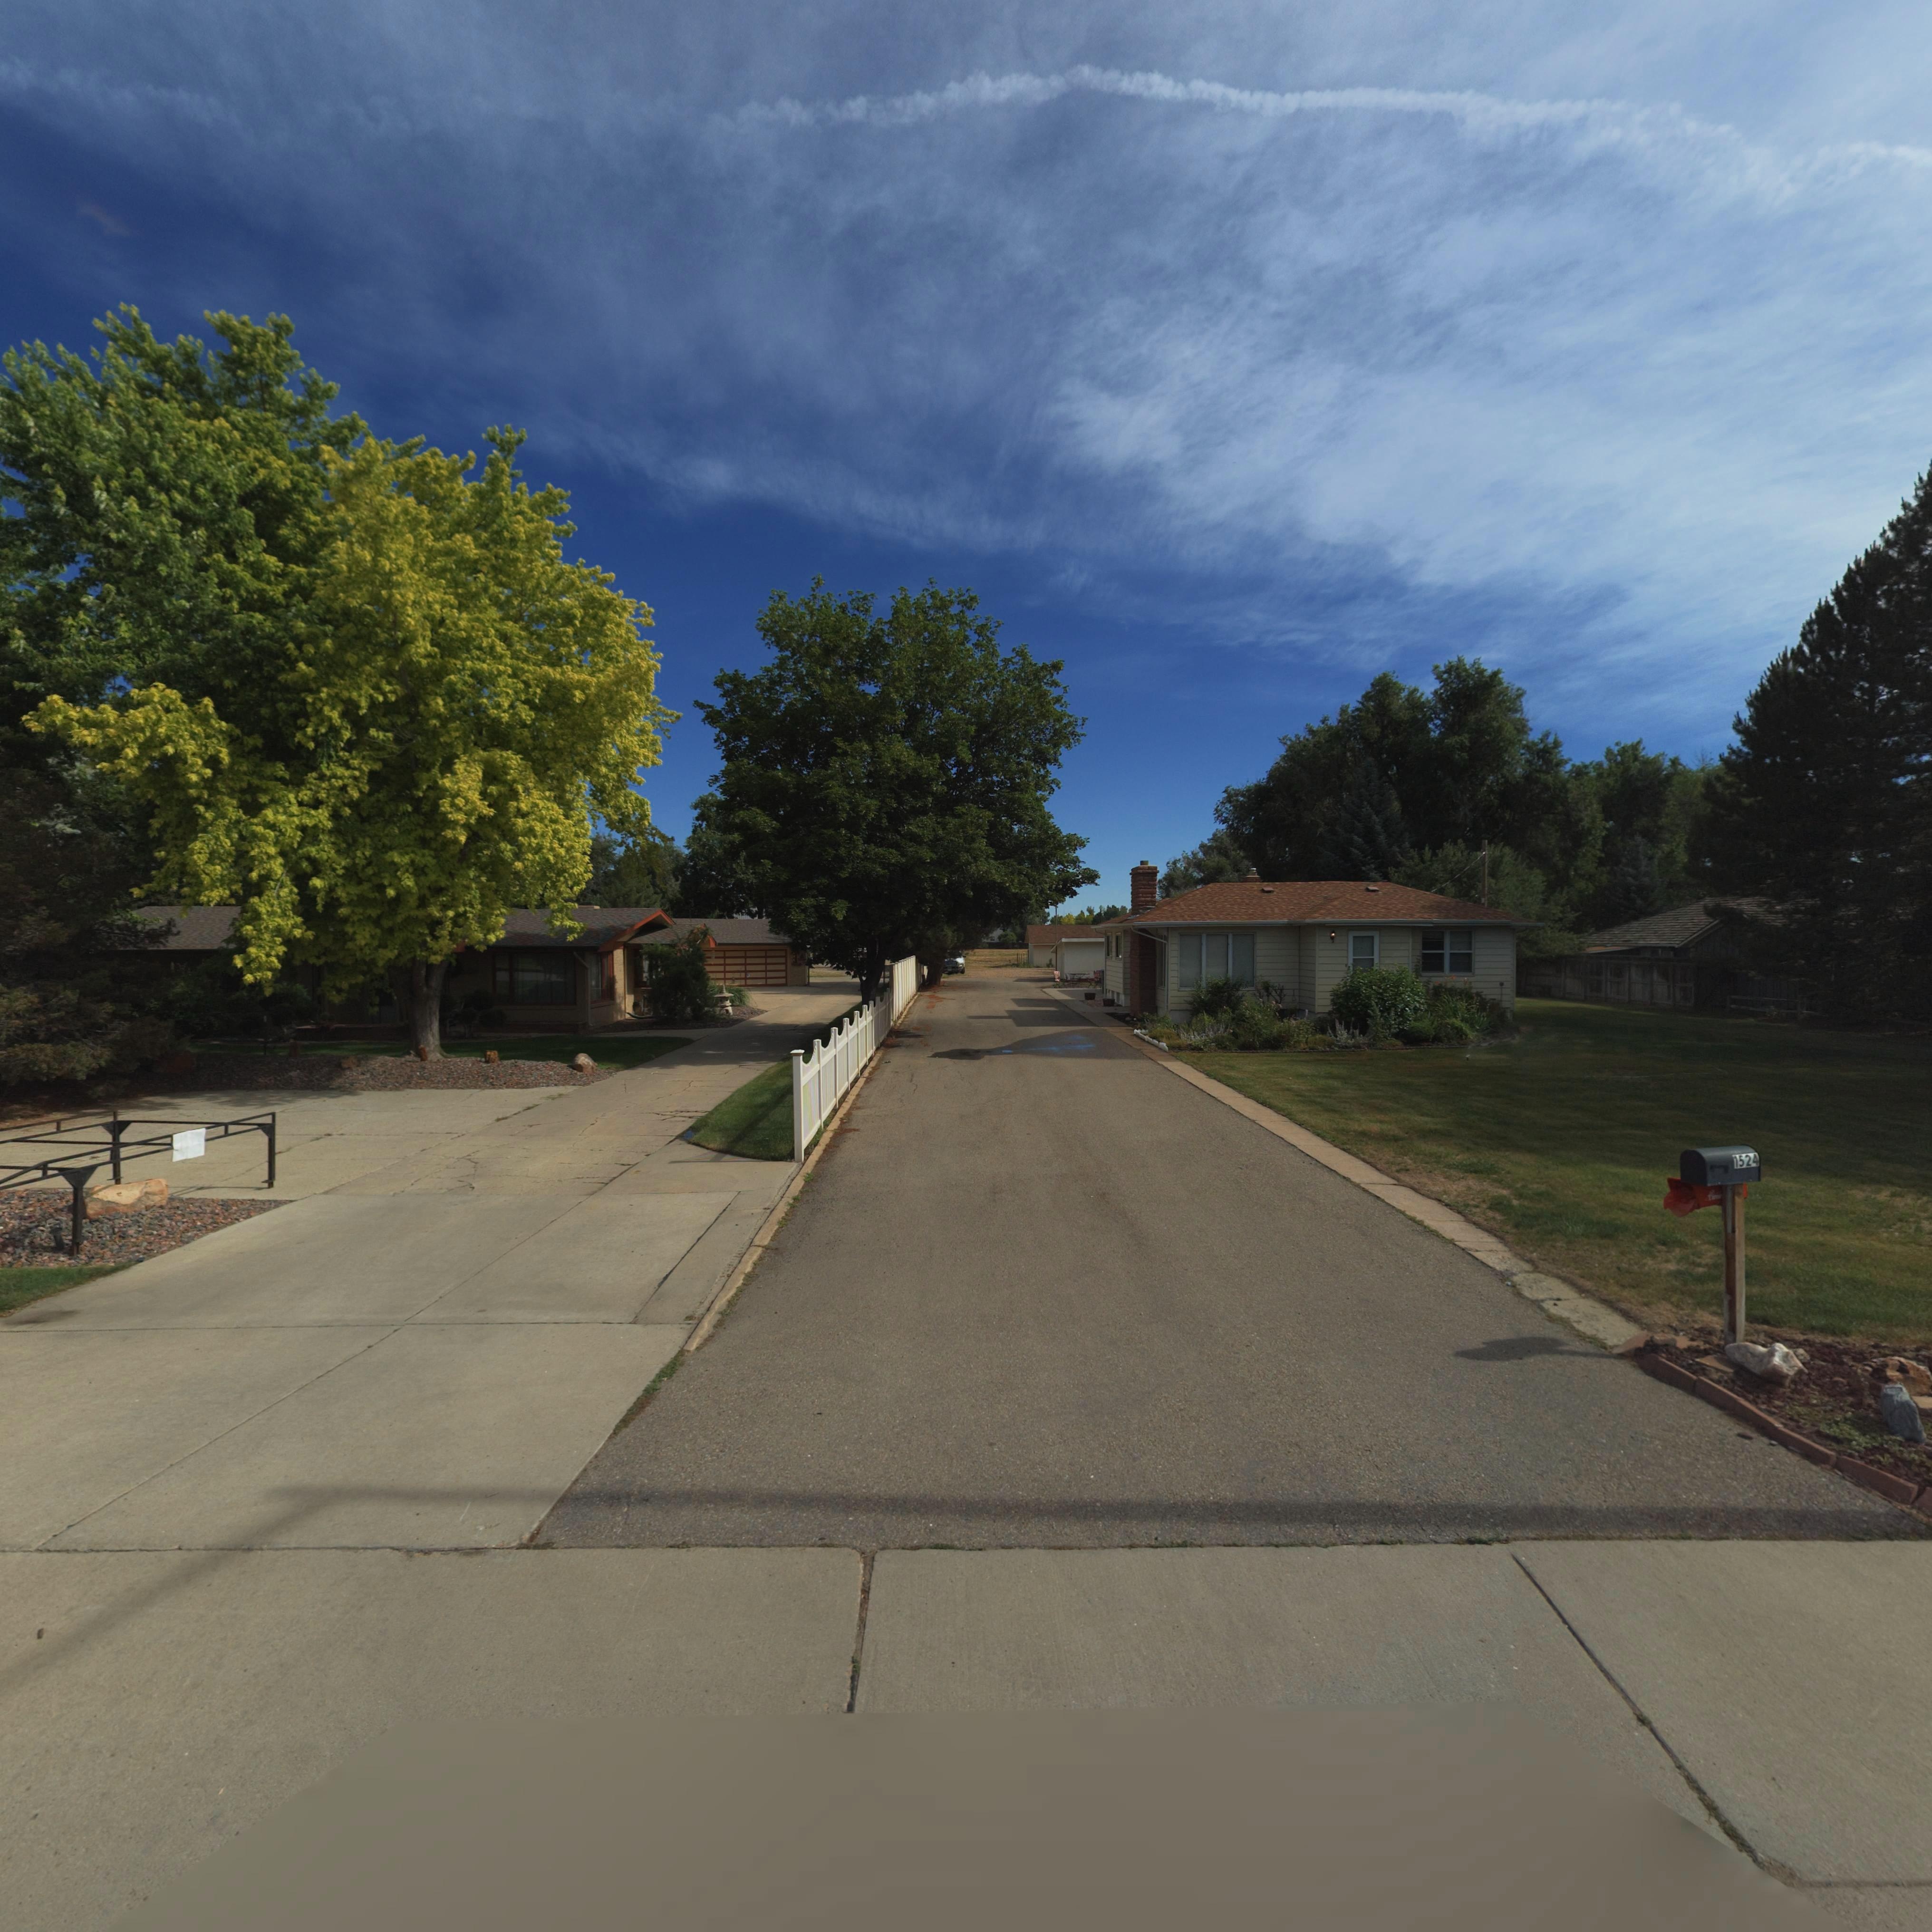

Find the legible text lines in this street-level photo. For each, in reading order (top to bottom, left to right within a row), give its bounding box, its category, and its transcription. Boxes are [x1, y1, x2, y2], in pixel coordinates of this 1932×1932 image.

[1732, 1153, 1759, 1168] StreetNumber: 1524